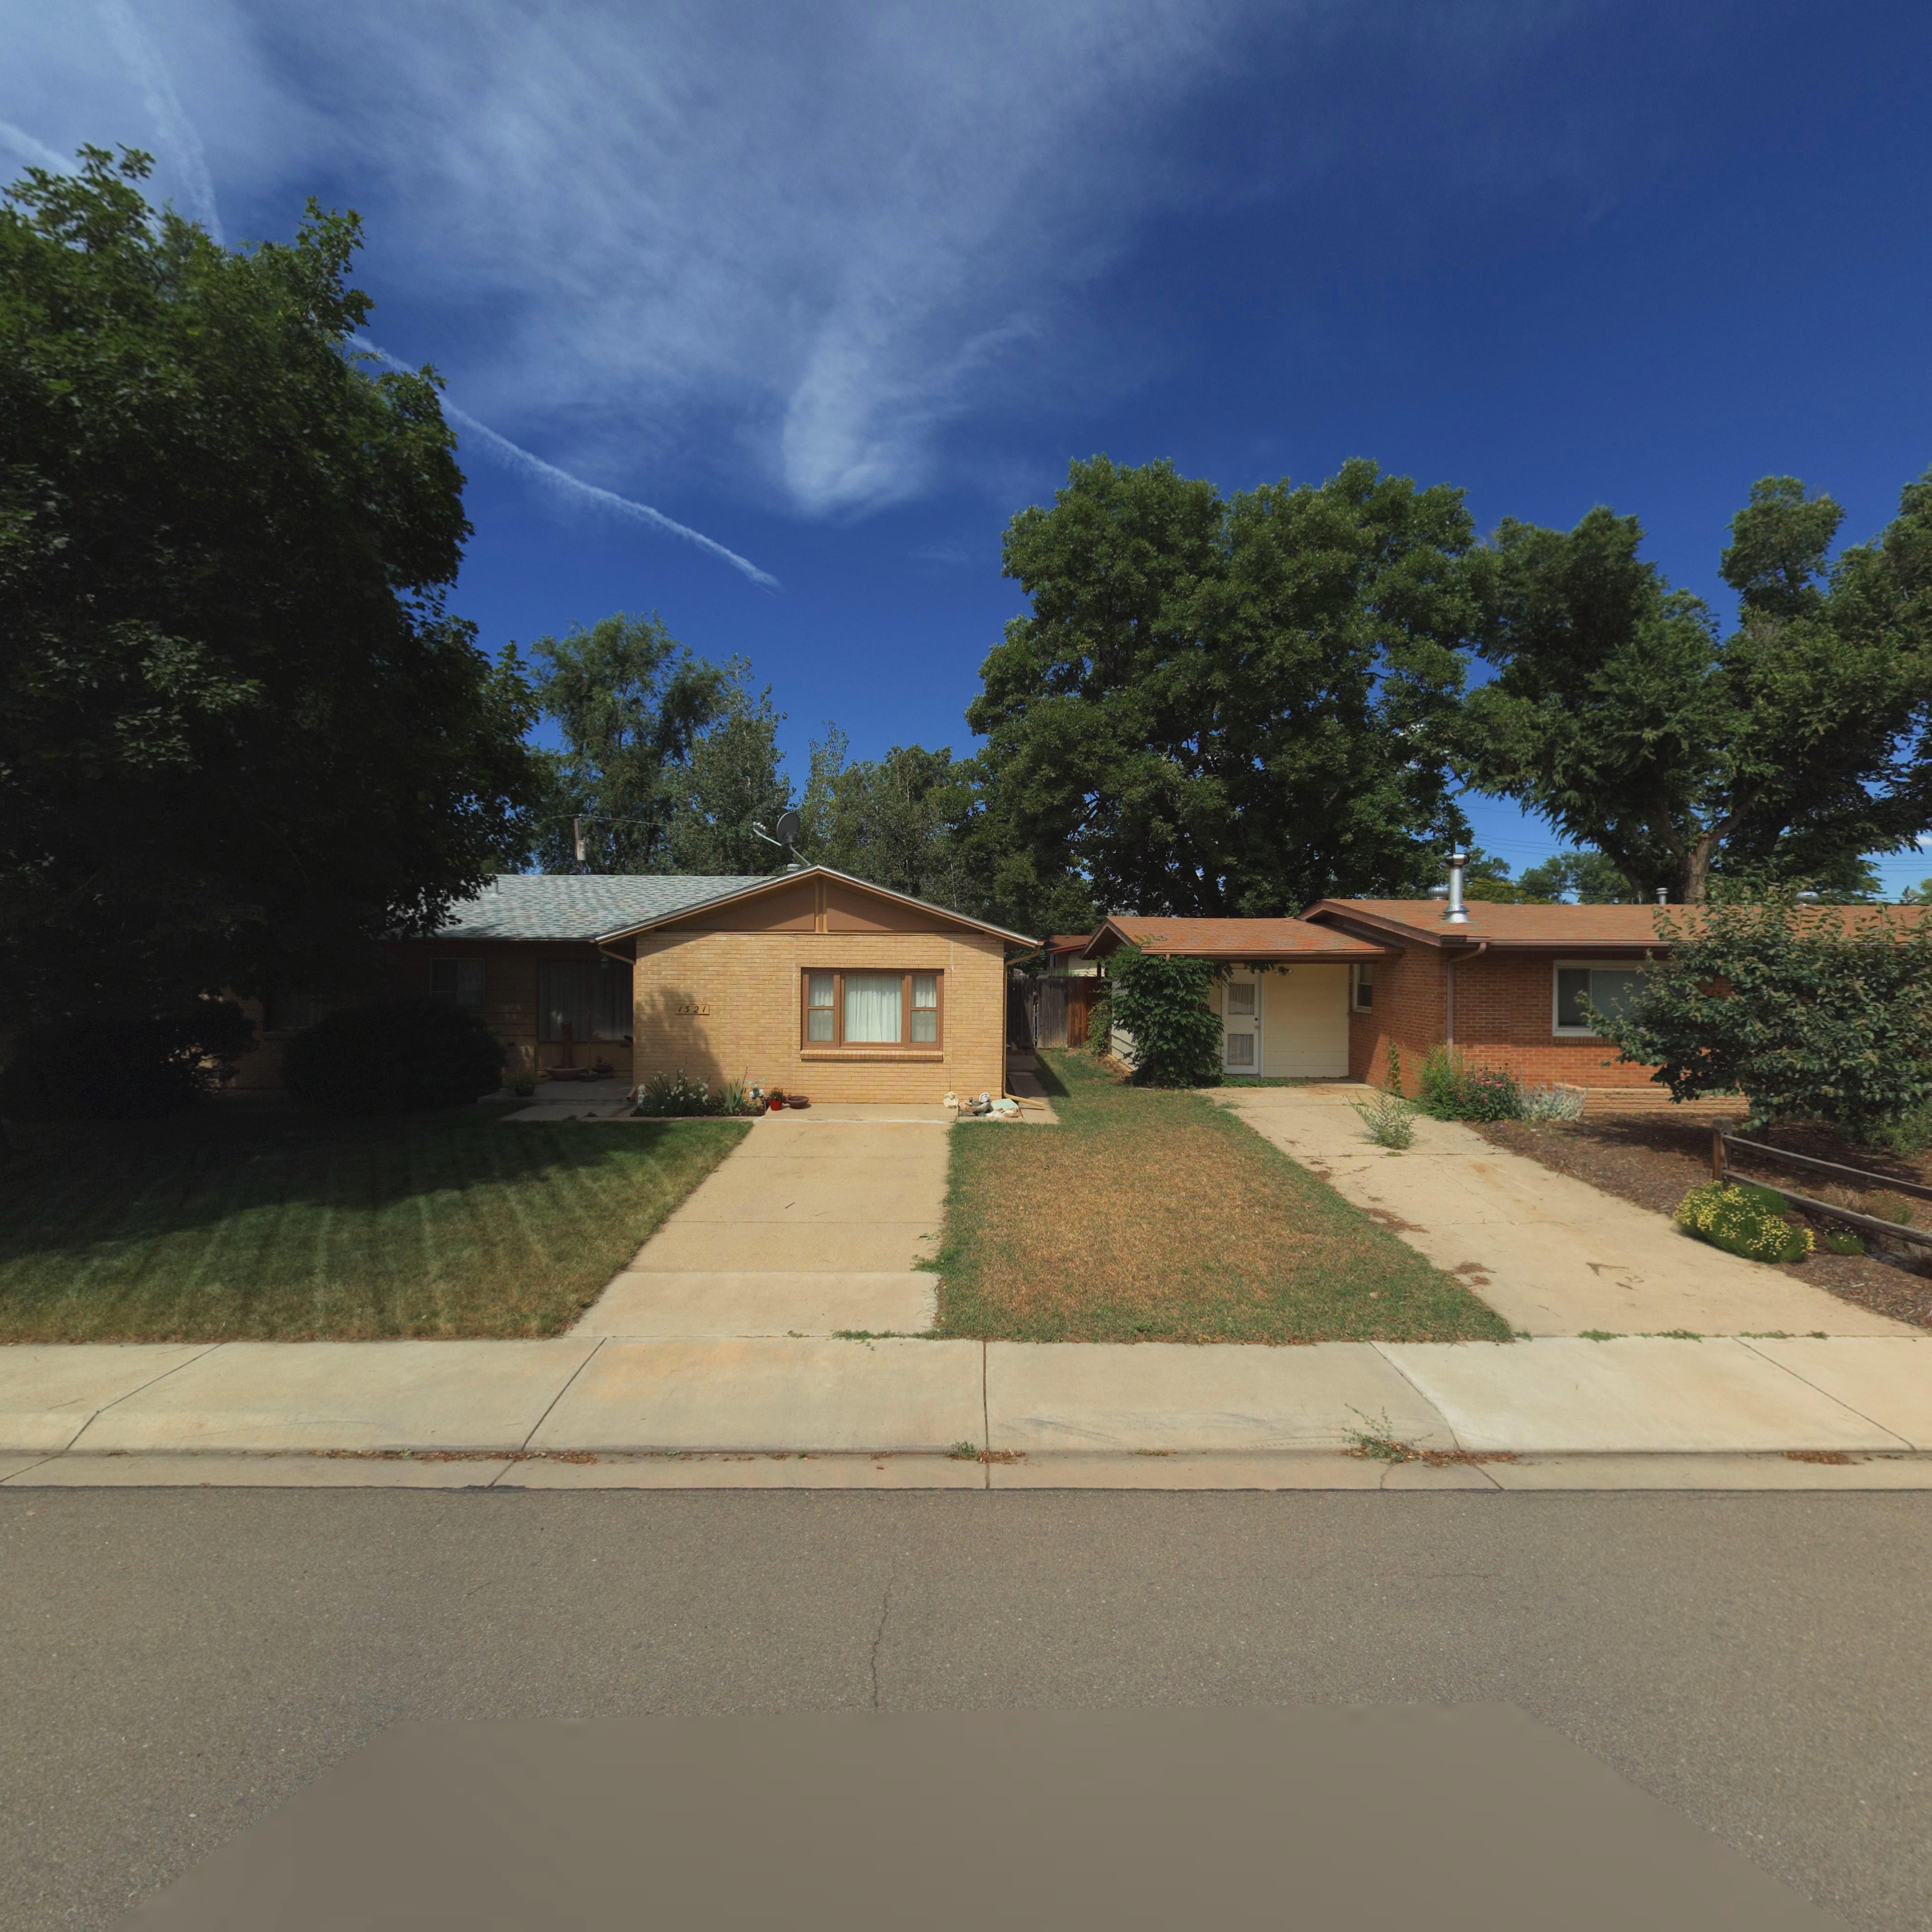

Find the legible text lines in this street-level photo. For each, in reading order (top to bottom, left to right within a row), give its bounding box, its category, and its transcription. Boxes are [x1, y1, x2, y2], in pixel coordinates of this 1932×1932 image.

[678, 1005, 706, 1013] StreetNumber: 1321